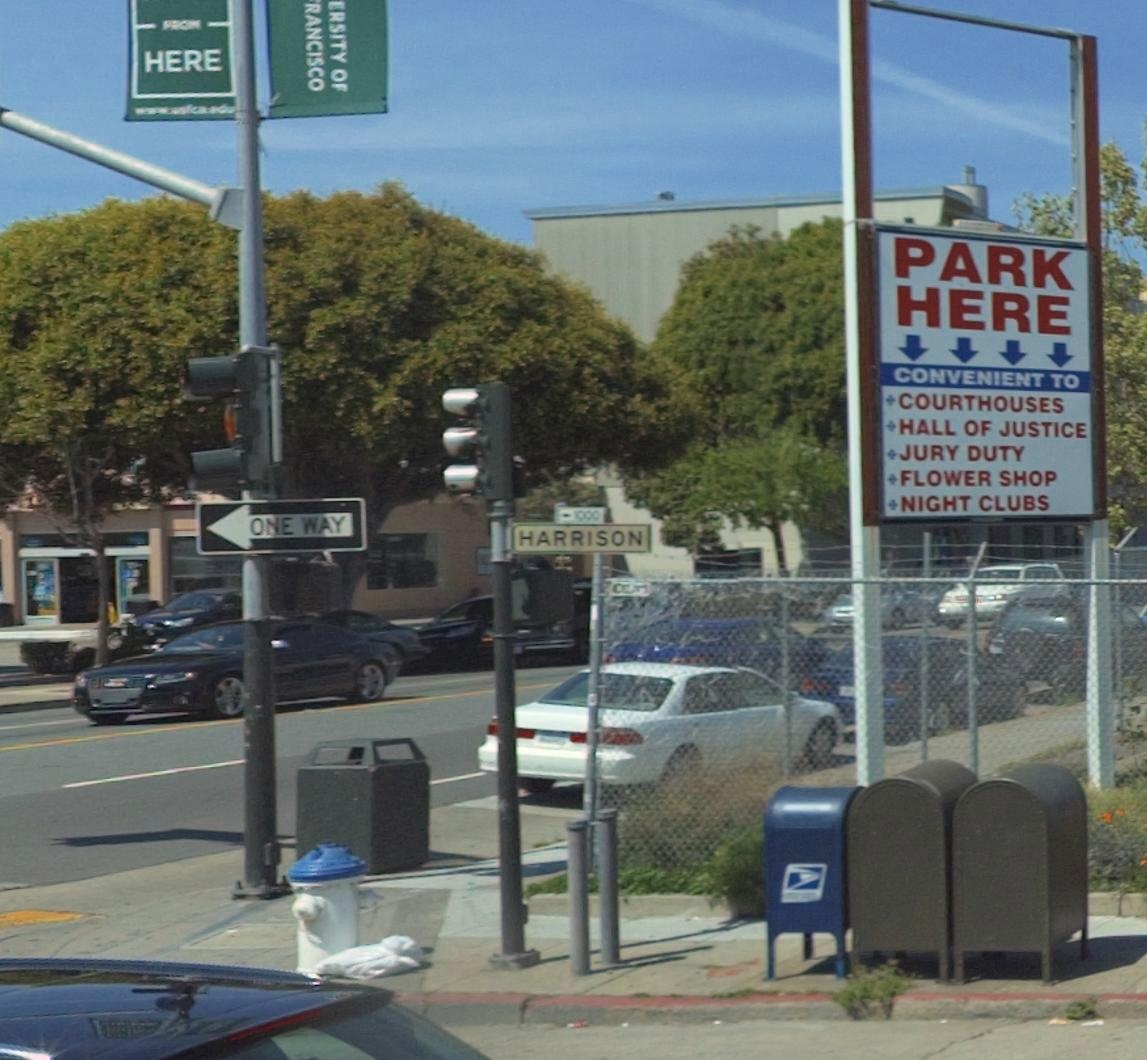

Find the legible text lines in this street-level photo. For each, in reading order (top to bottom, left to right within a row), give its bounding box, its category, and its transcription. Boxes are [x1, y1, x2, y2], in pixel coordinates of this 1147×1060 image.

[160, 17, 203, 30] None: FROM
[302, 3, 327, 93] None: RANCISCO
[327, 1, 349, 93] None: ERSITY OF
[142, 47, 223, 74] None: HERE
[892, 235, 1076, 292] None: PARK
[896, 284, 1073, 335] None: HERE
[890, 365, 1084, 389] None: CONVENIENT TO
[897, 391, 1066, 414] None: COURTHOUSES
[898, 417, 1088, 439] None: HALL OF JUSTICE
[899, 443, 1029, 463] None: JURY DUTY
[898, 468, 1059, 487] None: FLOWER SHOP
[899, 493, 1052, 513] None: NIGHT CLUBS
[249, 515, 346, 535] None: ONE WAY
[559, 509, 601, 521] StreetNumberRange: <-1000
[519, 529, 644, 547] StreetName: HARRISON